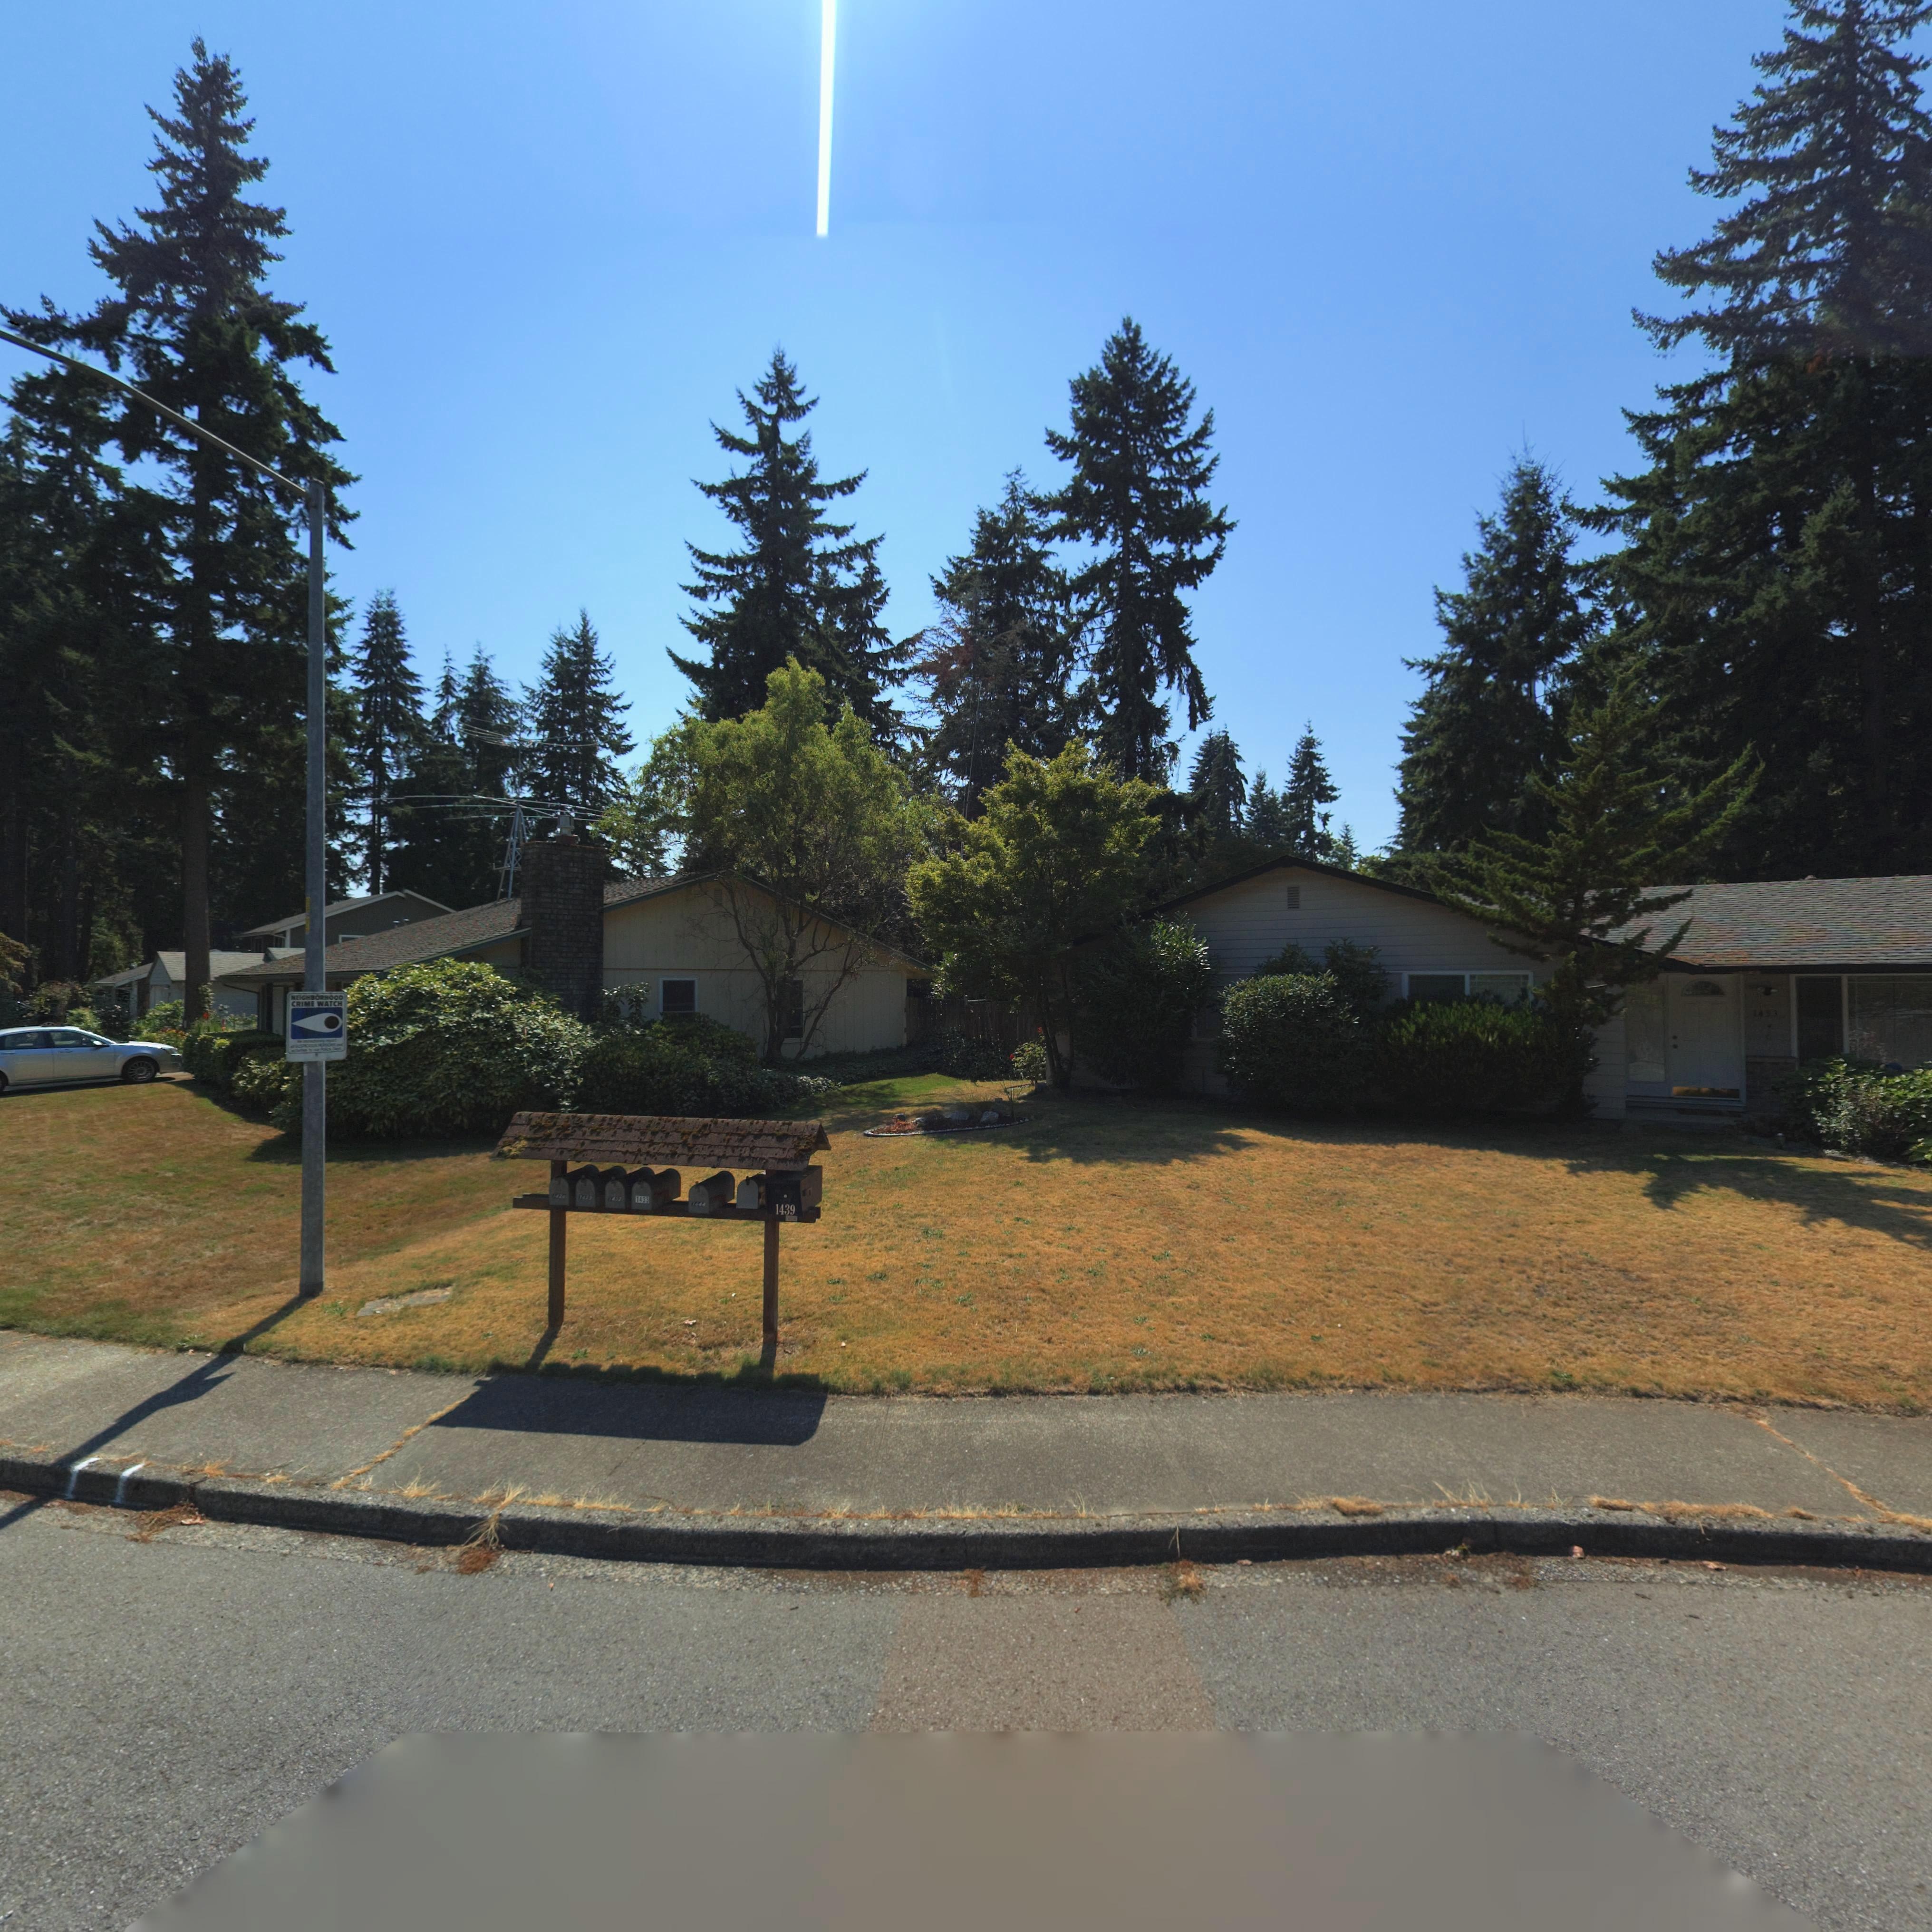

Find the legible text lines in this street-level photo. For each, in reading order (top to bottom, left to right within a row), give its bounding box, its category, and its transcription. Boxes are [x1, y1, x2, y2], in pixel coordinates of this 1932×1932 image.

[1752, 1008, 1779, 1018] StreetNumber: 1433
[552, 1192, 566, 1199] StreetNumber: 142*
[579, 1194, 593, 1200] StreetNumber: 1429
[608, 1196, 623, 1202] StreetNumber: 1432
[636, 1195, 649, 1203] StreetNumber: 1433
[691, 1201, 706, 1207] StreetNumber: 1444
[775, 1203, 795, 1216] StreetNumber: 1439